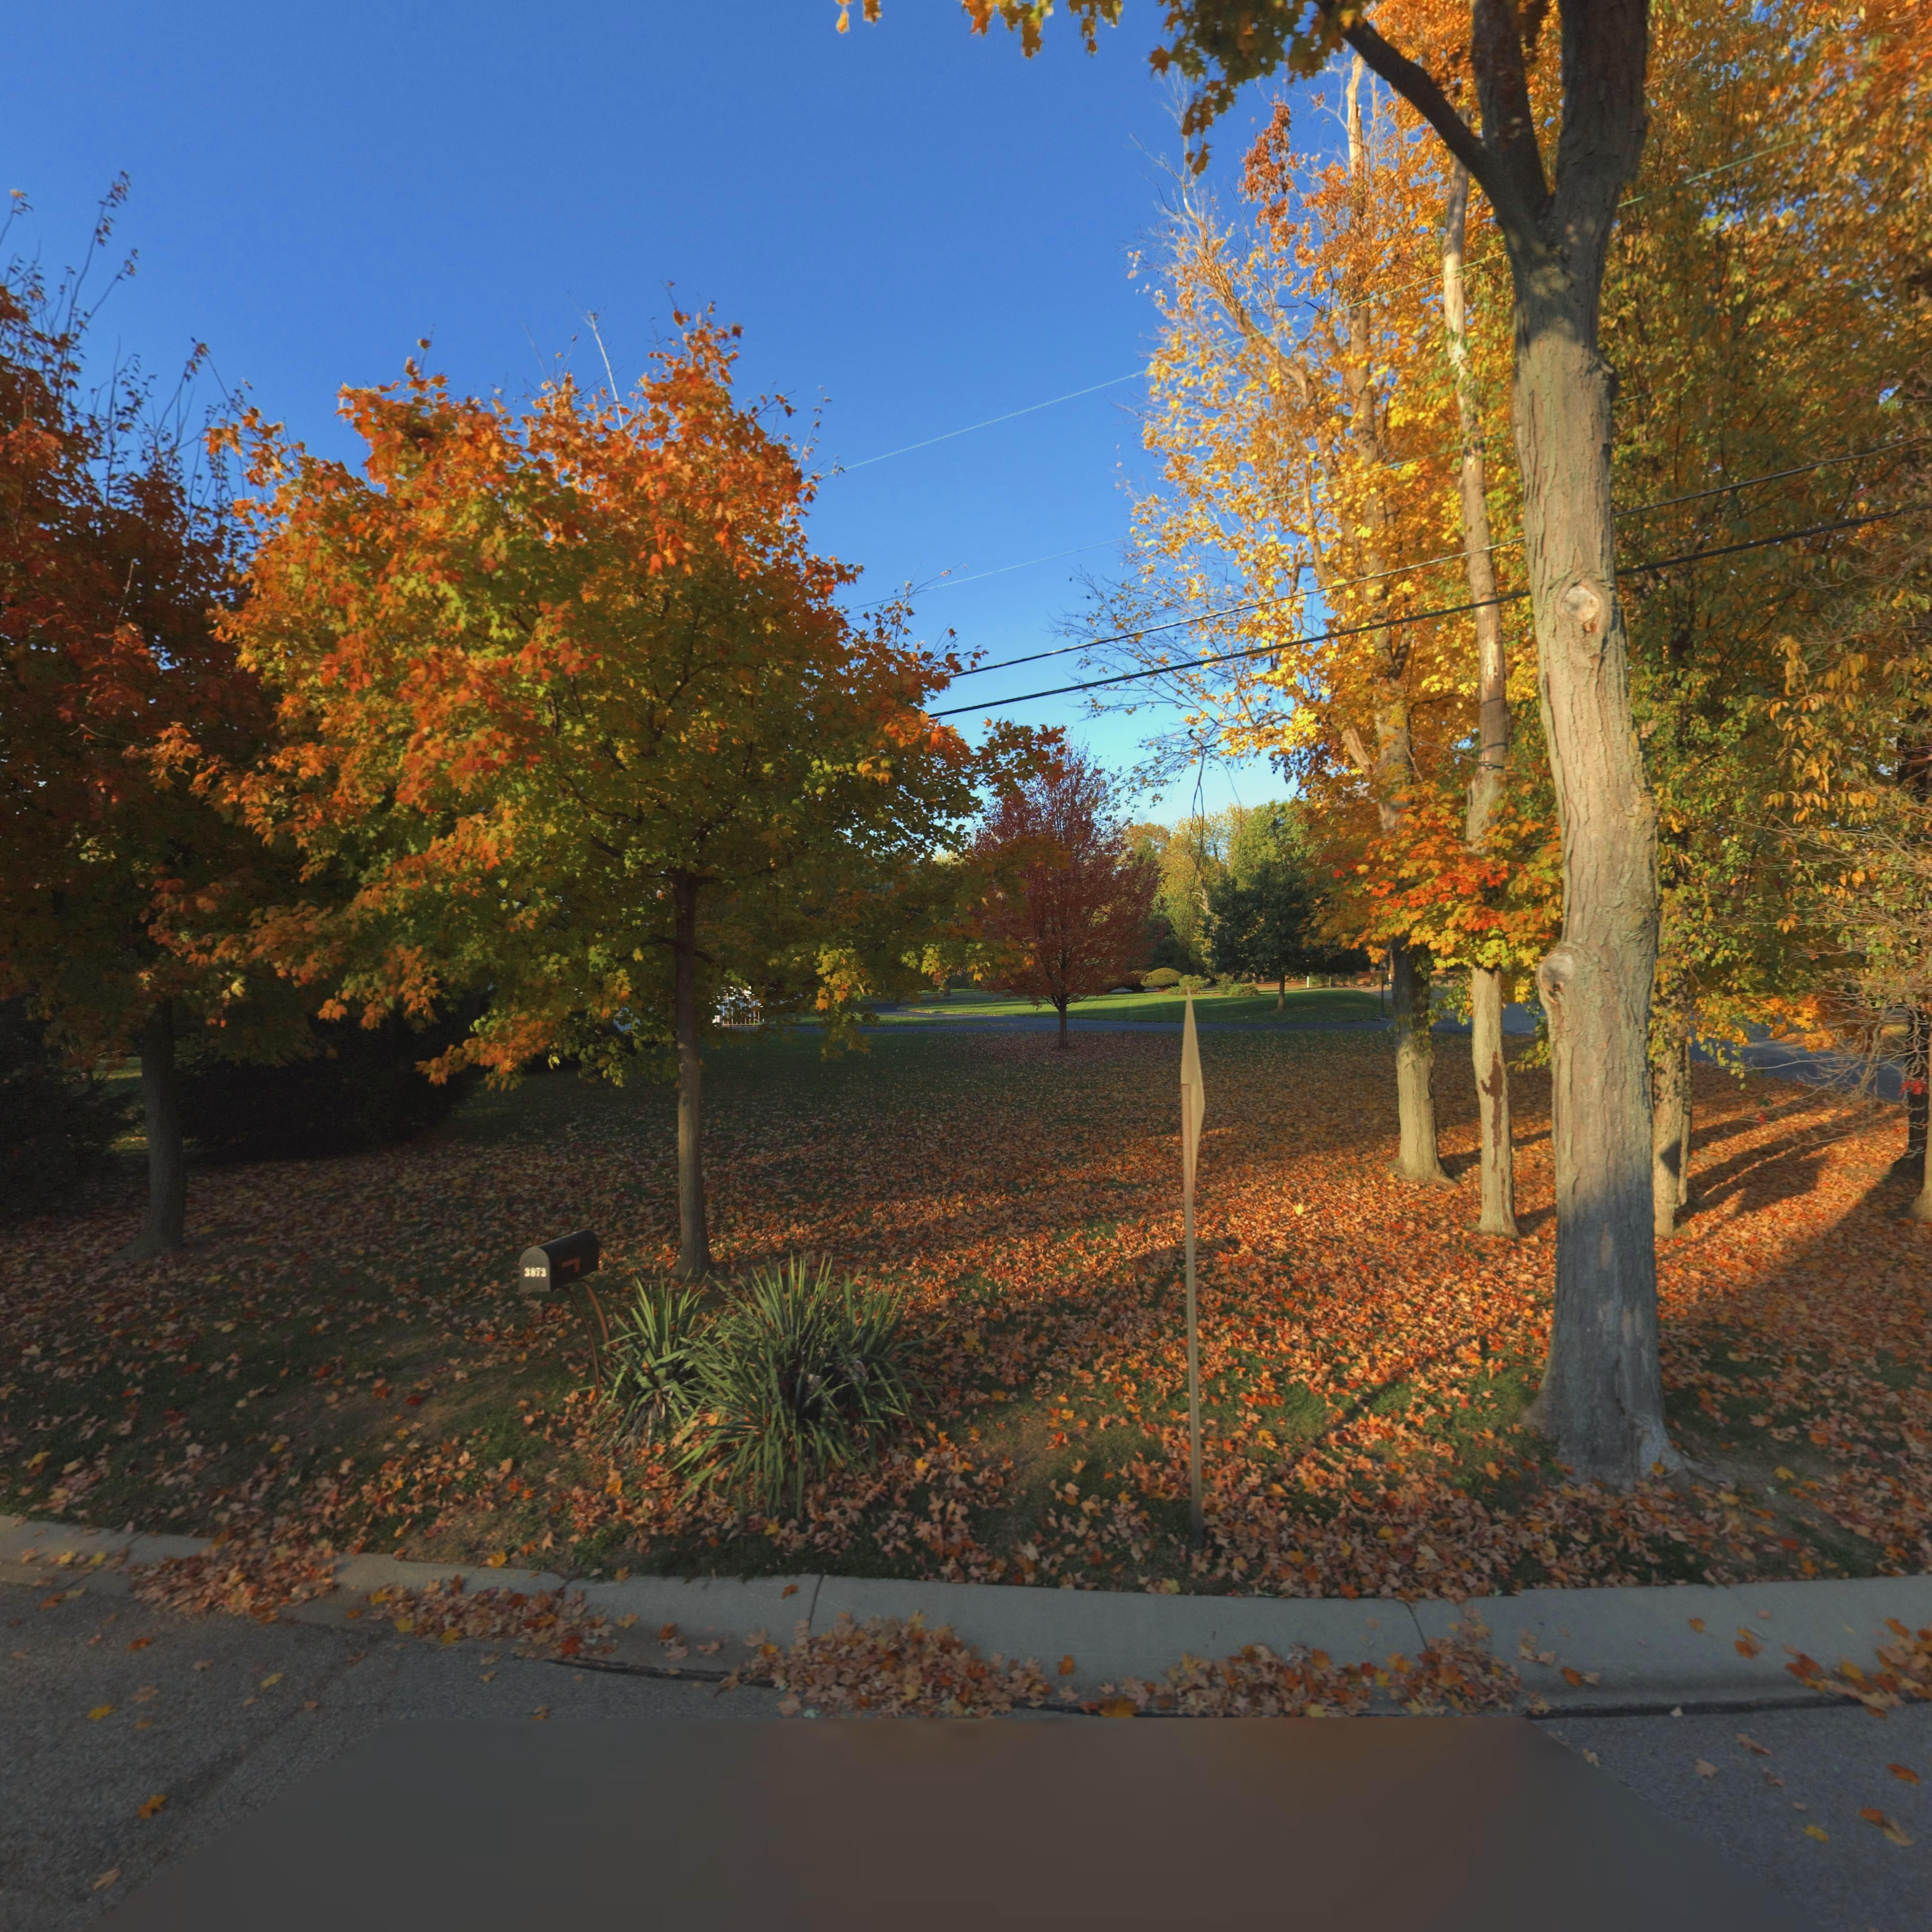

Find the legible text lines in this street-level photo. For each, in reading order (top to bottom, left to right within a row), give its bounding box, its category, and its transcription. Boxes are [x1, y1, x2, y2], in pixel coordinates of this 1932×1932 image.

[523, 1266, 547, 1277] StreetNumber: 387